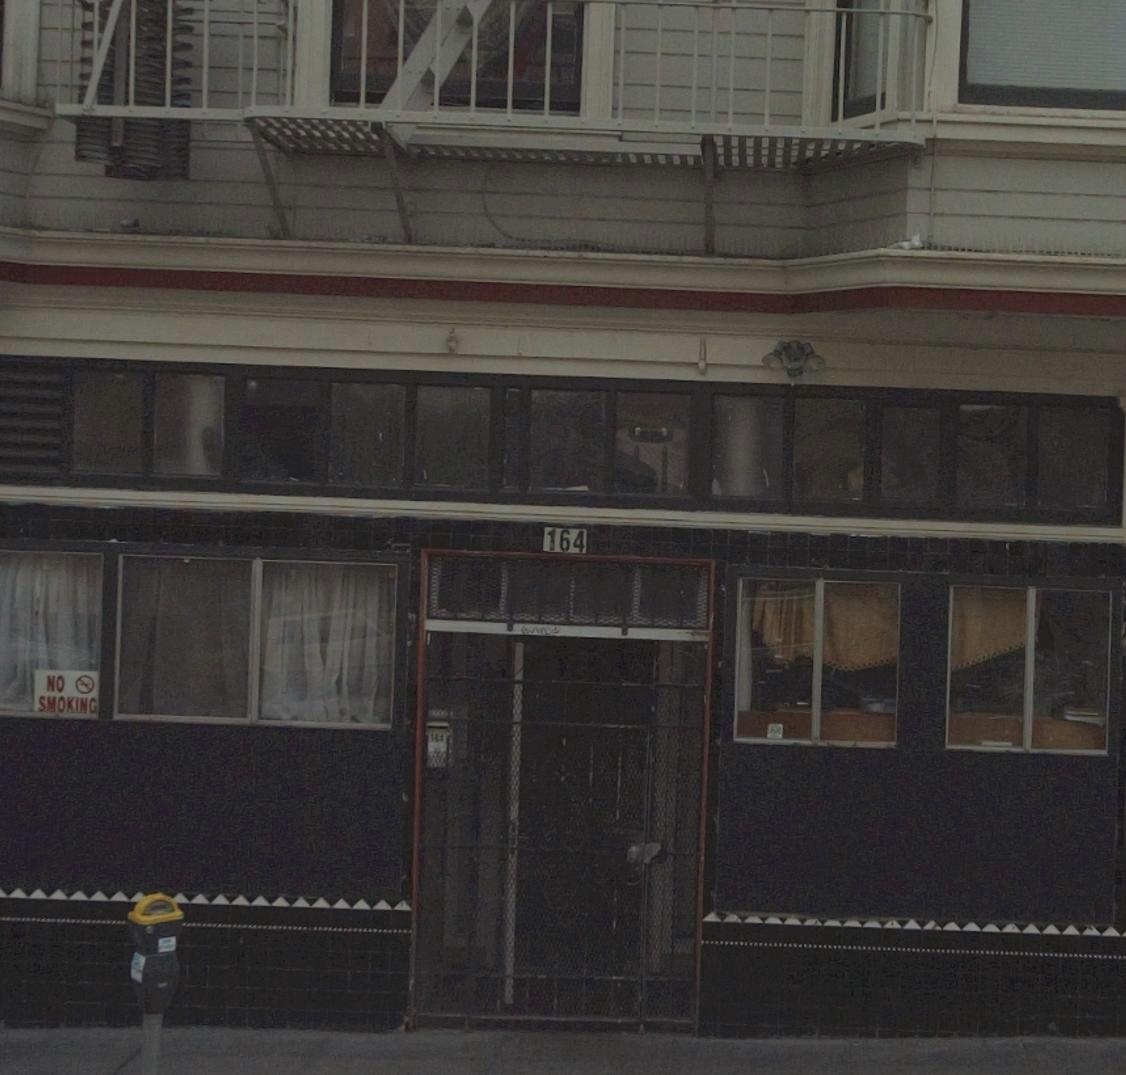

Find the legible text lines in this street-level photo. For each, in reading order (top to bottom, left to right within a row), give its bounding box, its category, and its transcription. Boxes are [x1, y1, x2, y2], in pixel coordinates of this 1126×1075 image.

[542, 526, 587, 555] StreetNumber: 164
[44, 671, 68, 695] None: NO
[36, 692, 99, 716] None: SMOKING
[429, 731, 446, 744] StreetNumber: 164